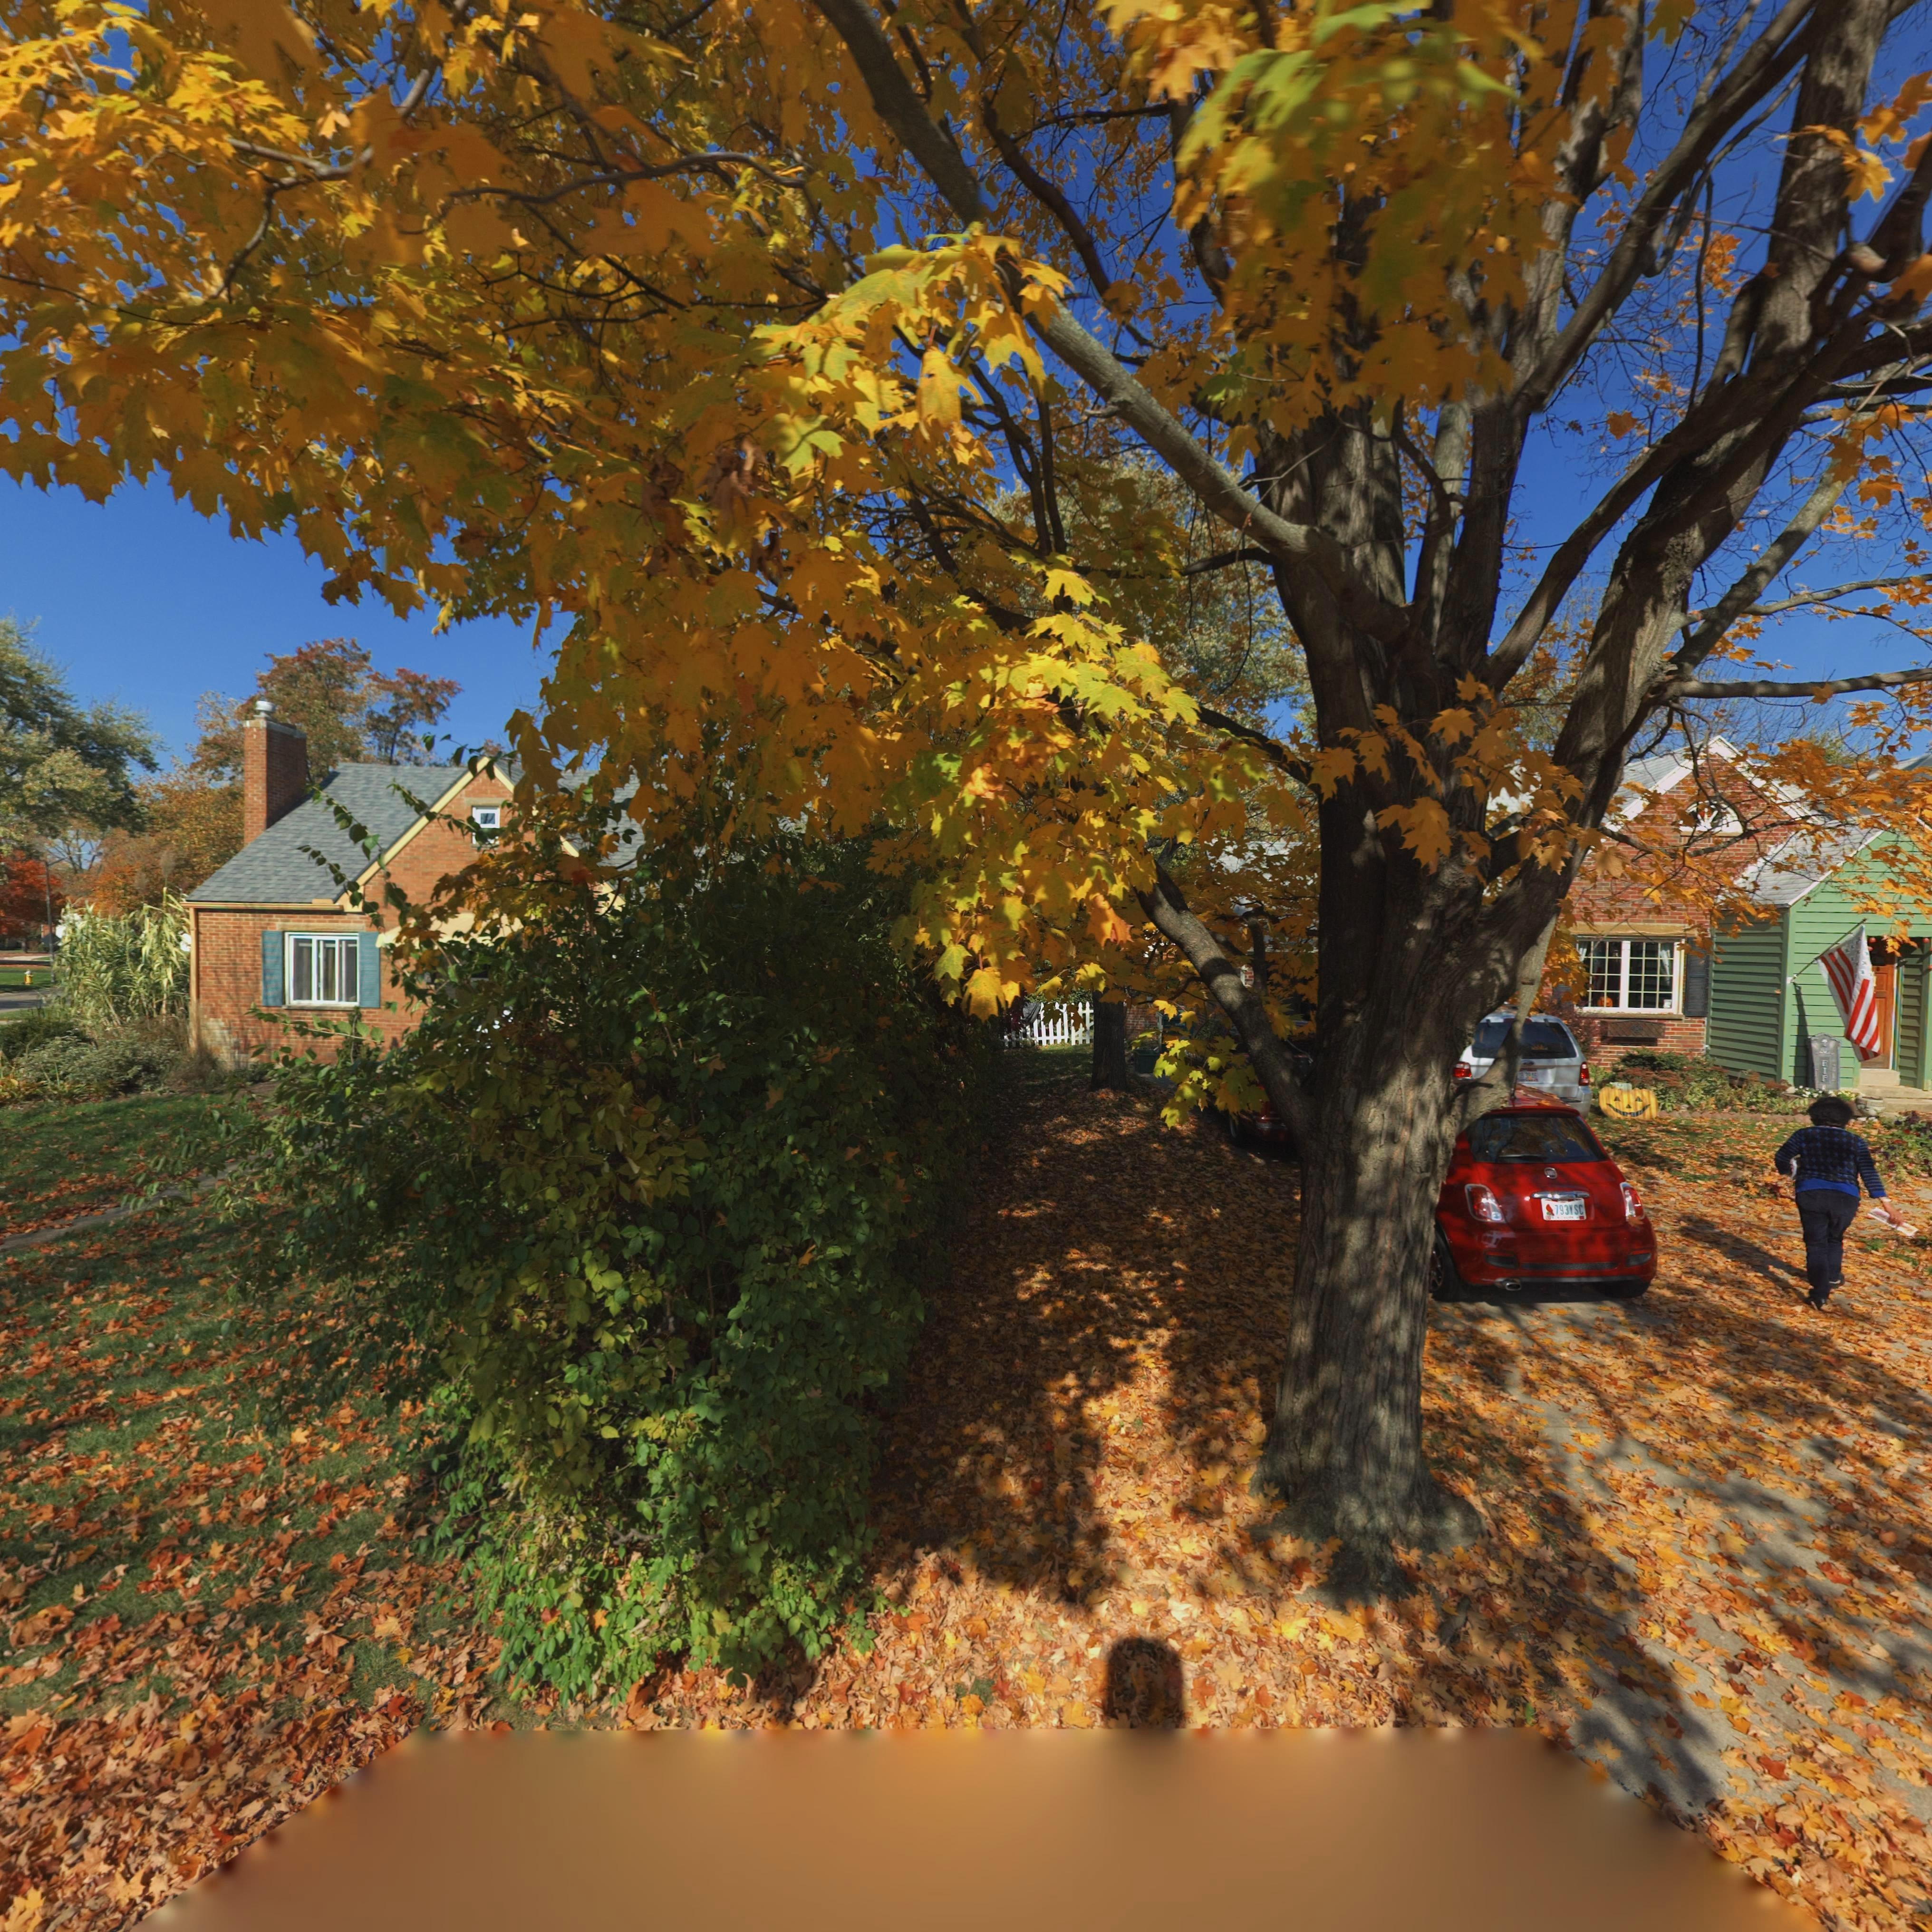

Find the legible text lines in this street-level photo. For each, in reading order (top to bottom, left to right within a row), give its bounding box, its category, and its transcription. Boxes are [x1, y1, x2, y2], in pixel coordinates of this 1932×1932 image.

[1520, 1072, 1537, 1079] None: 8*3*45
[1821, 1059, 1829, 1082] None: *IP
[1554, 1204, 1584, 1216] None: 793YSC